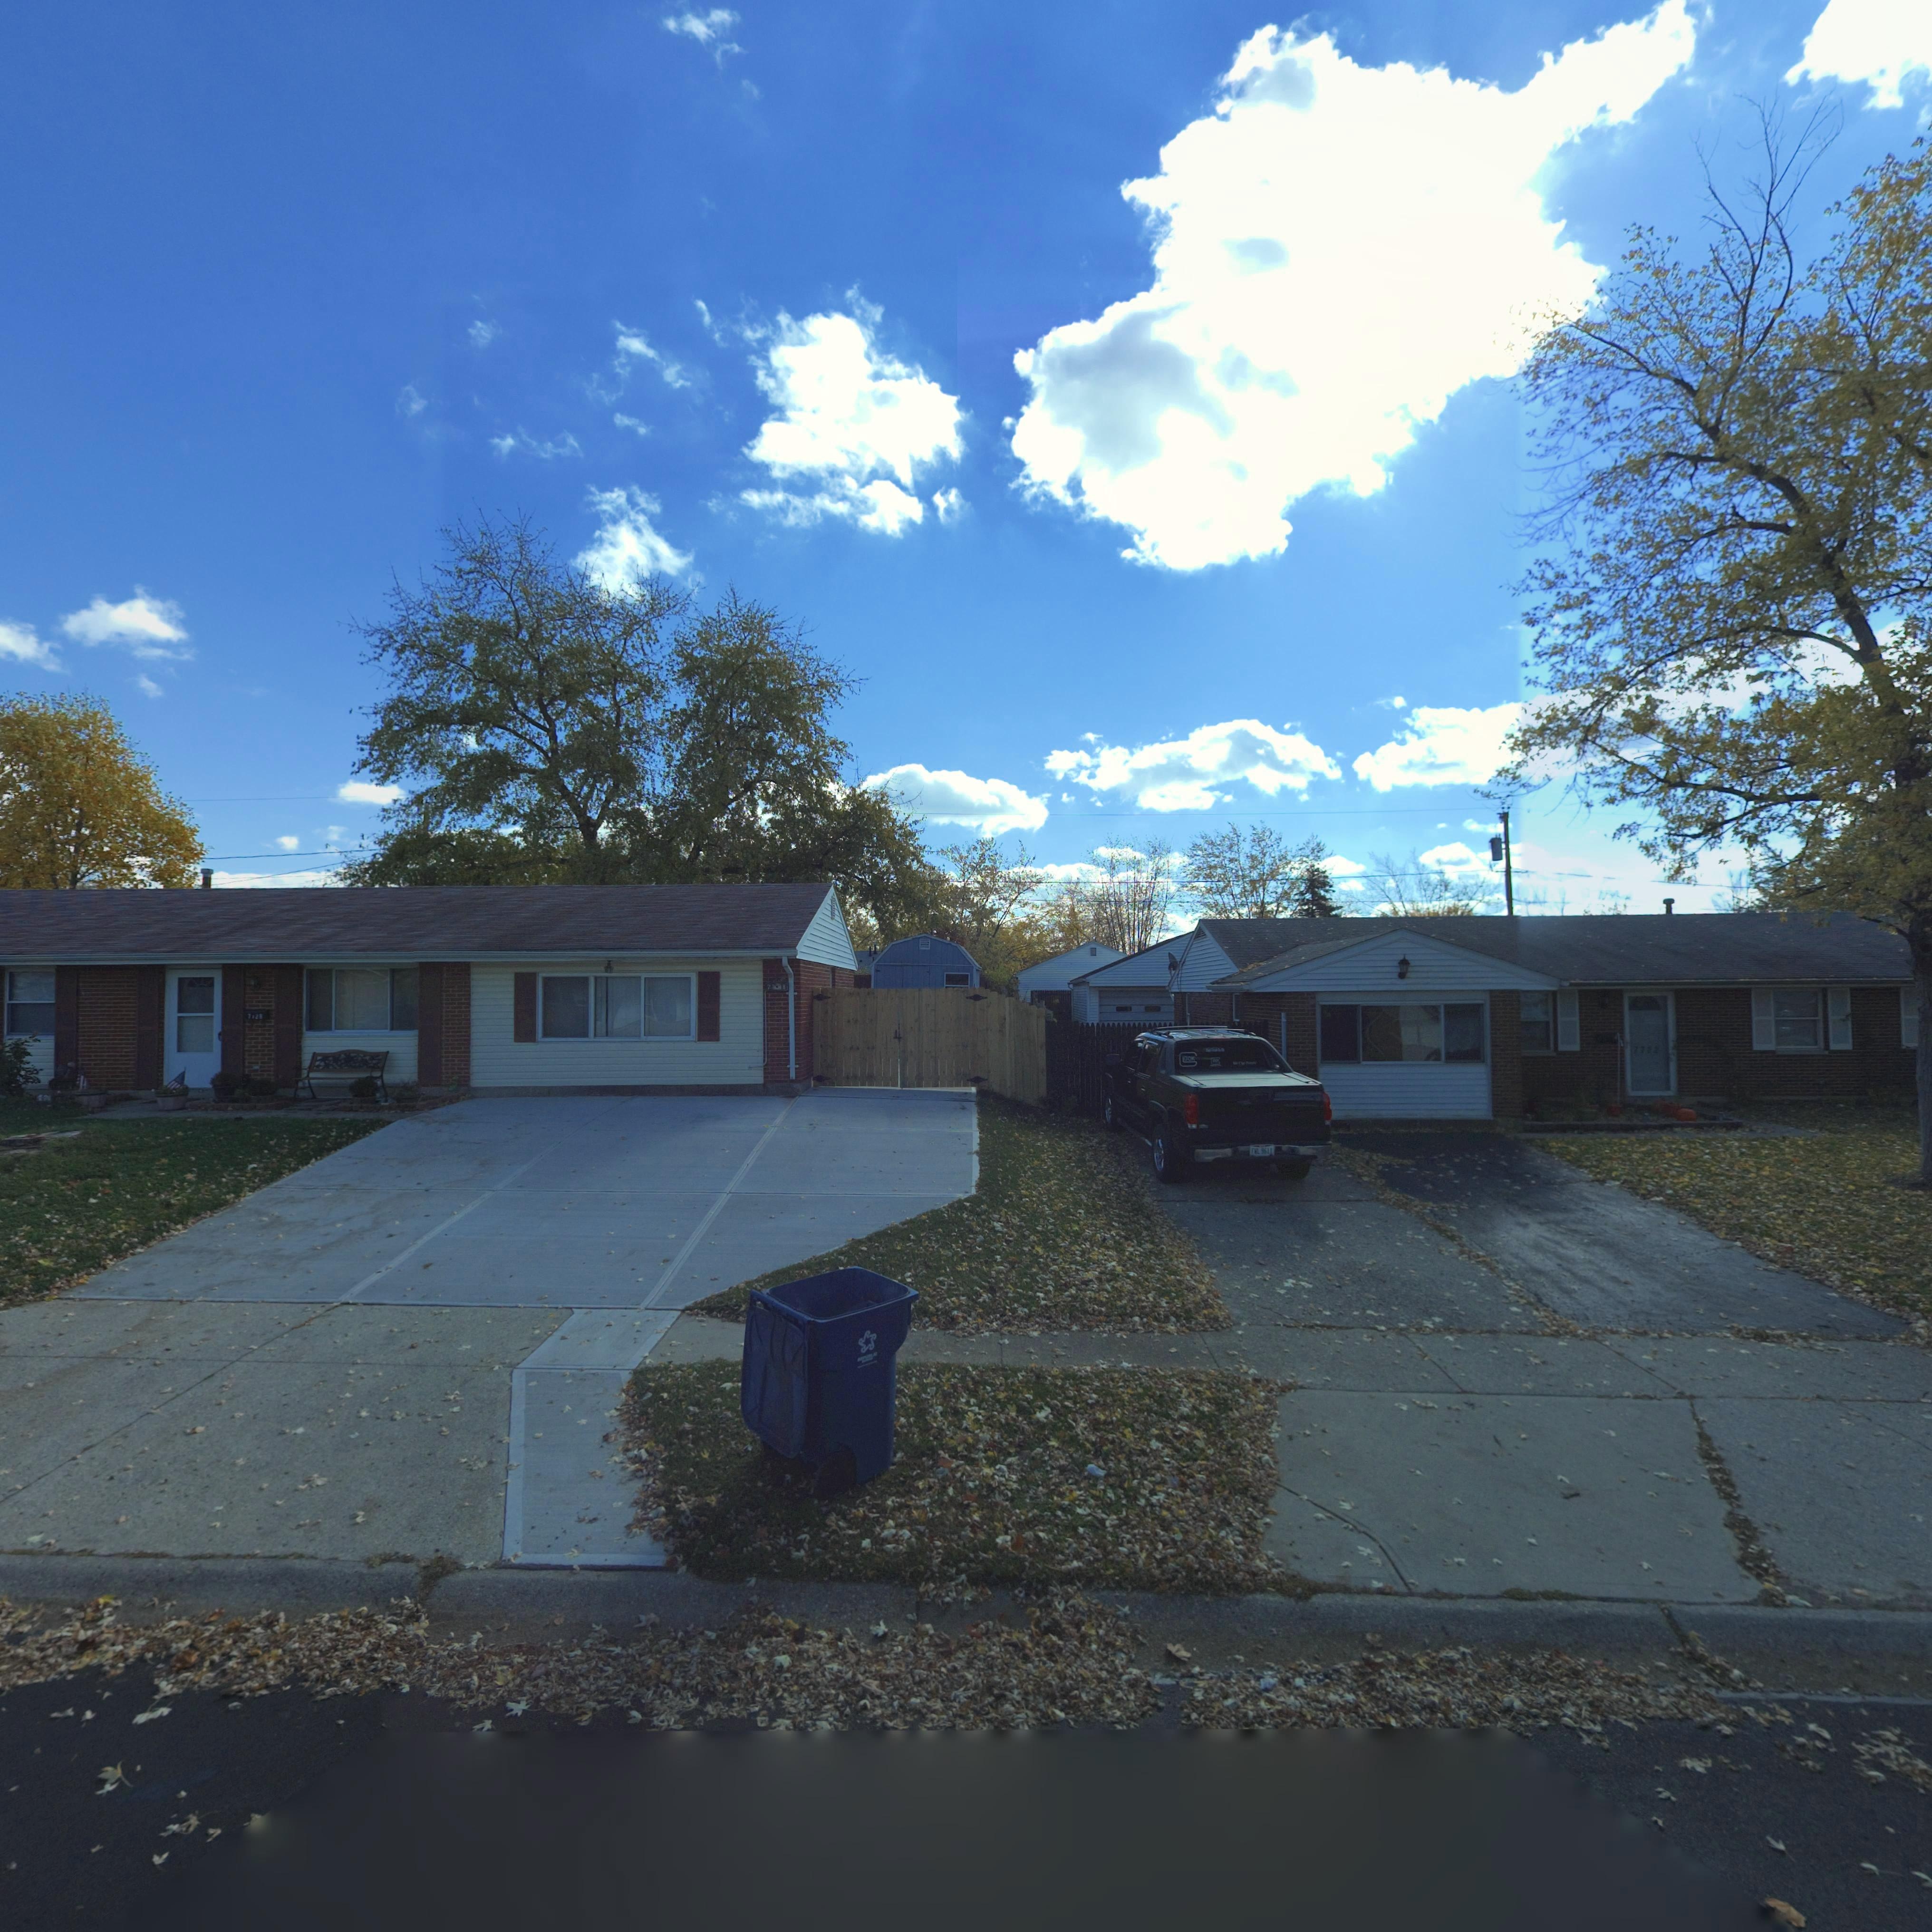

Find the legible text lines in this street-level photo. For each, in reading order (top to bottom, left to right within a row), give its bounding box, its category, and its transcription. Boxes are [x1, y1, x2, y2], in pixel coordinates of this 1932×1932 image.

[766, 984, 786, 990] StreetNumber: 7**8
[247, 1013, 263, 1020] StreetNumber: 7128
[1632, 1045, 1660, 1055] StreetNumber: 77*2